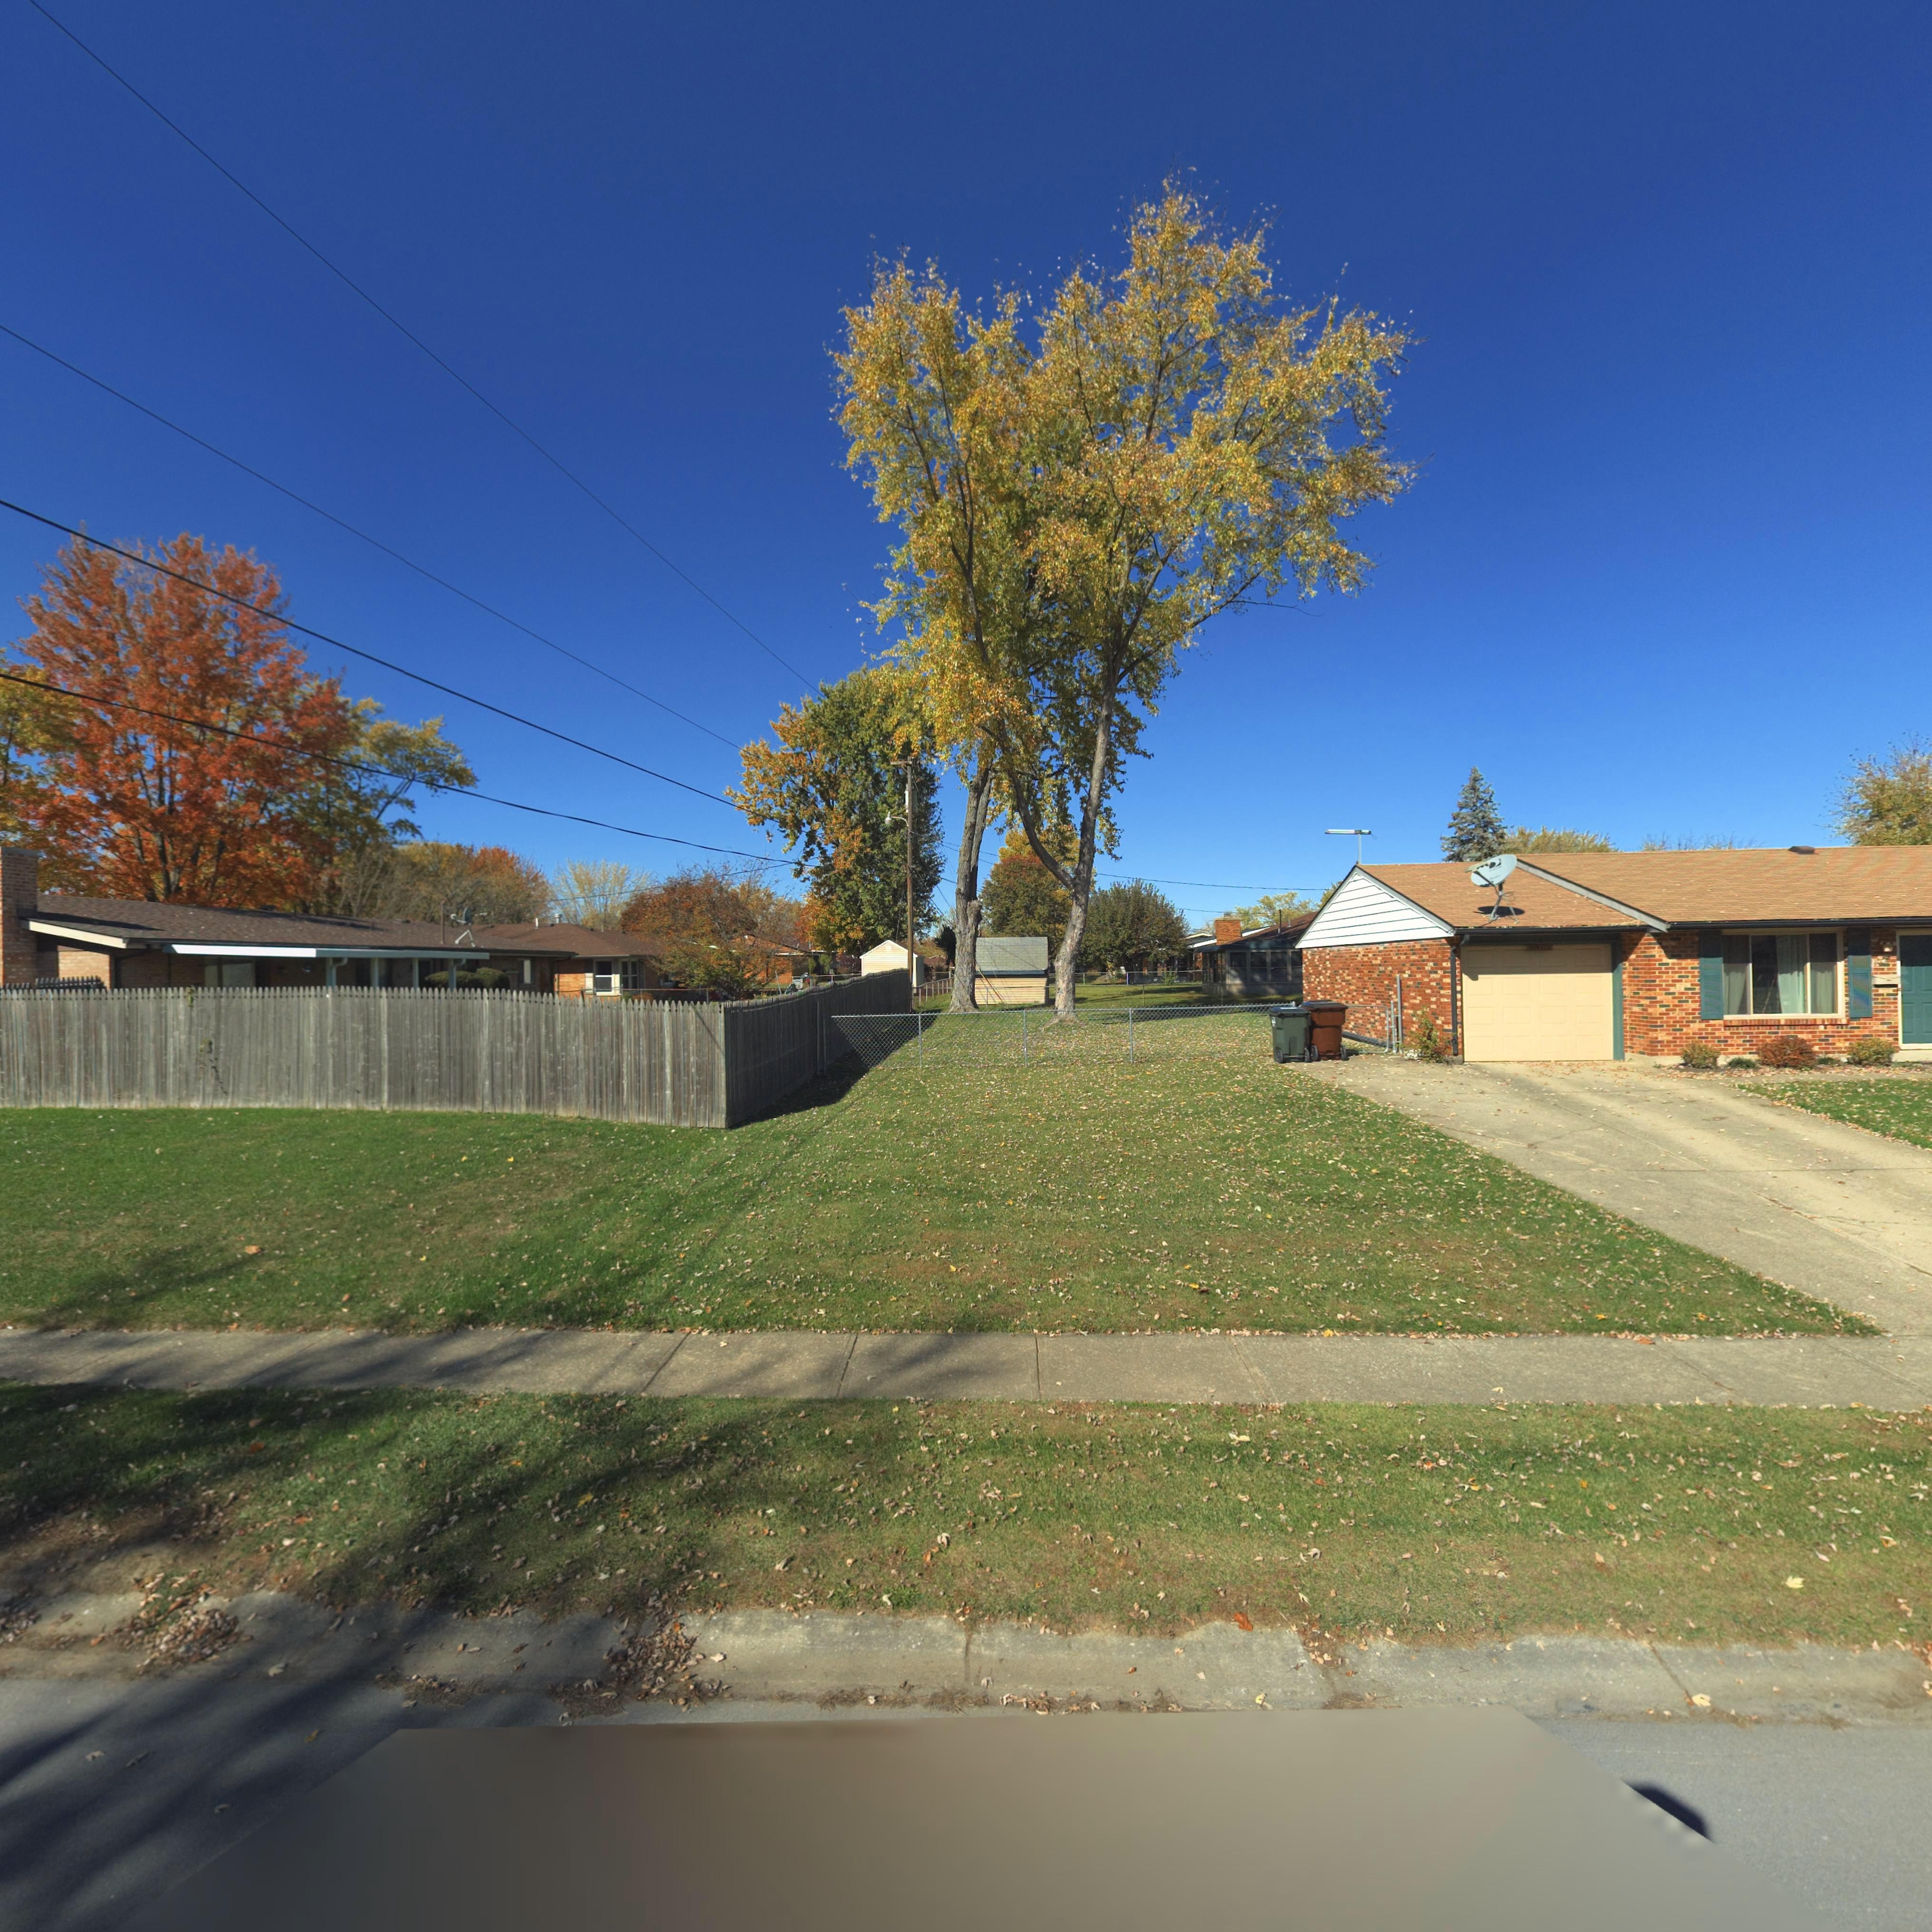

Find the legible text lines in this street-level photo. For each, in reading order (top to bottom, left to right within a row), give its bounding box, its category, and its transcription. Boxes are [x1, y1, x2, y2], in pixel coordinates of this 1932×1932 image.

[1873, 959, 1886, 965] StreetNumber: 100